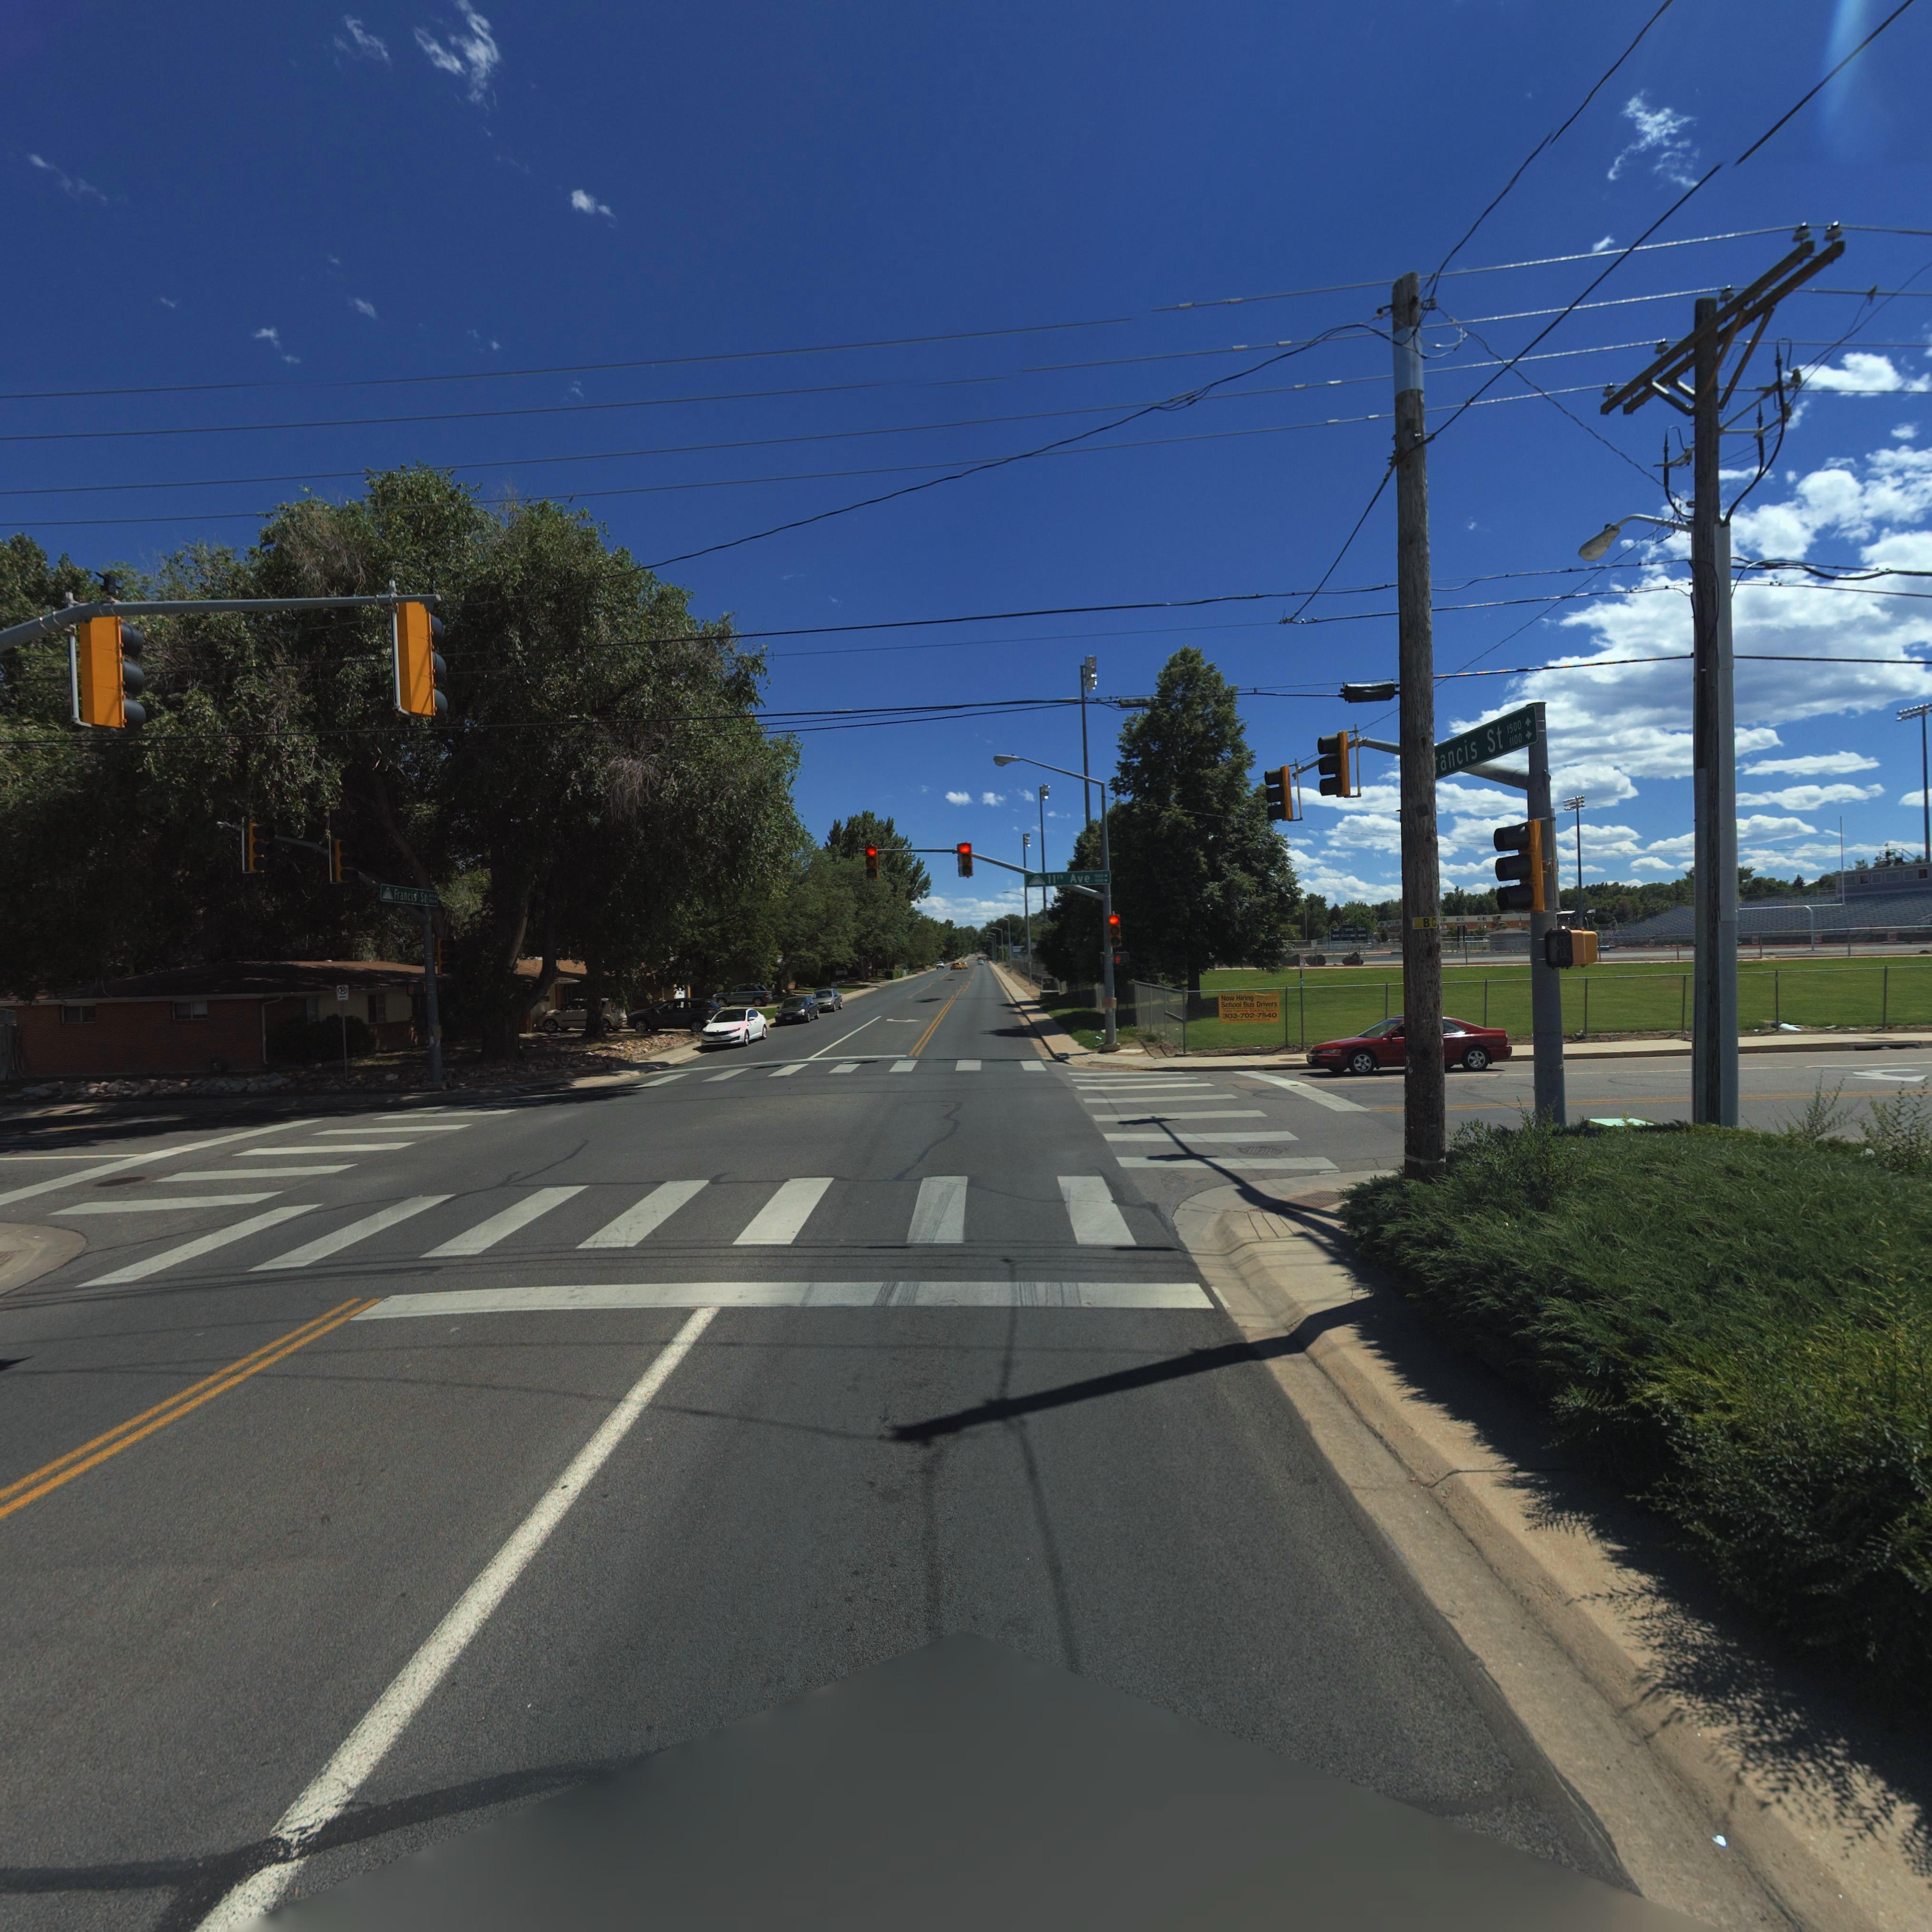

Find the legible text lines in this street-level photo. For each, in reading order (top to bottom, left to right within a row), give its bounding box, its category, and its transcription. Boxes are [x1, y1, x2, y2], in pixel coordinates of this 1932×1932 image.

[1505, 719, 1521, 735] StreetNumber: 1500
[1507, 729, 1534, 747] StreetNumber: 1100->
[1434, 724, 1505, 775] StreetName: *ancis St
[1047, 873, 1091, 884] StreetName: 11th Ave
[1094, 873, 1103, 878] StreetNumberRange: 1000
[1094, 878, 1109, 883] StreetNumberRange: 1500->
[394, 887, 427, 903] StreetName: Francis St